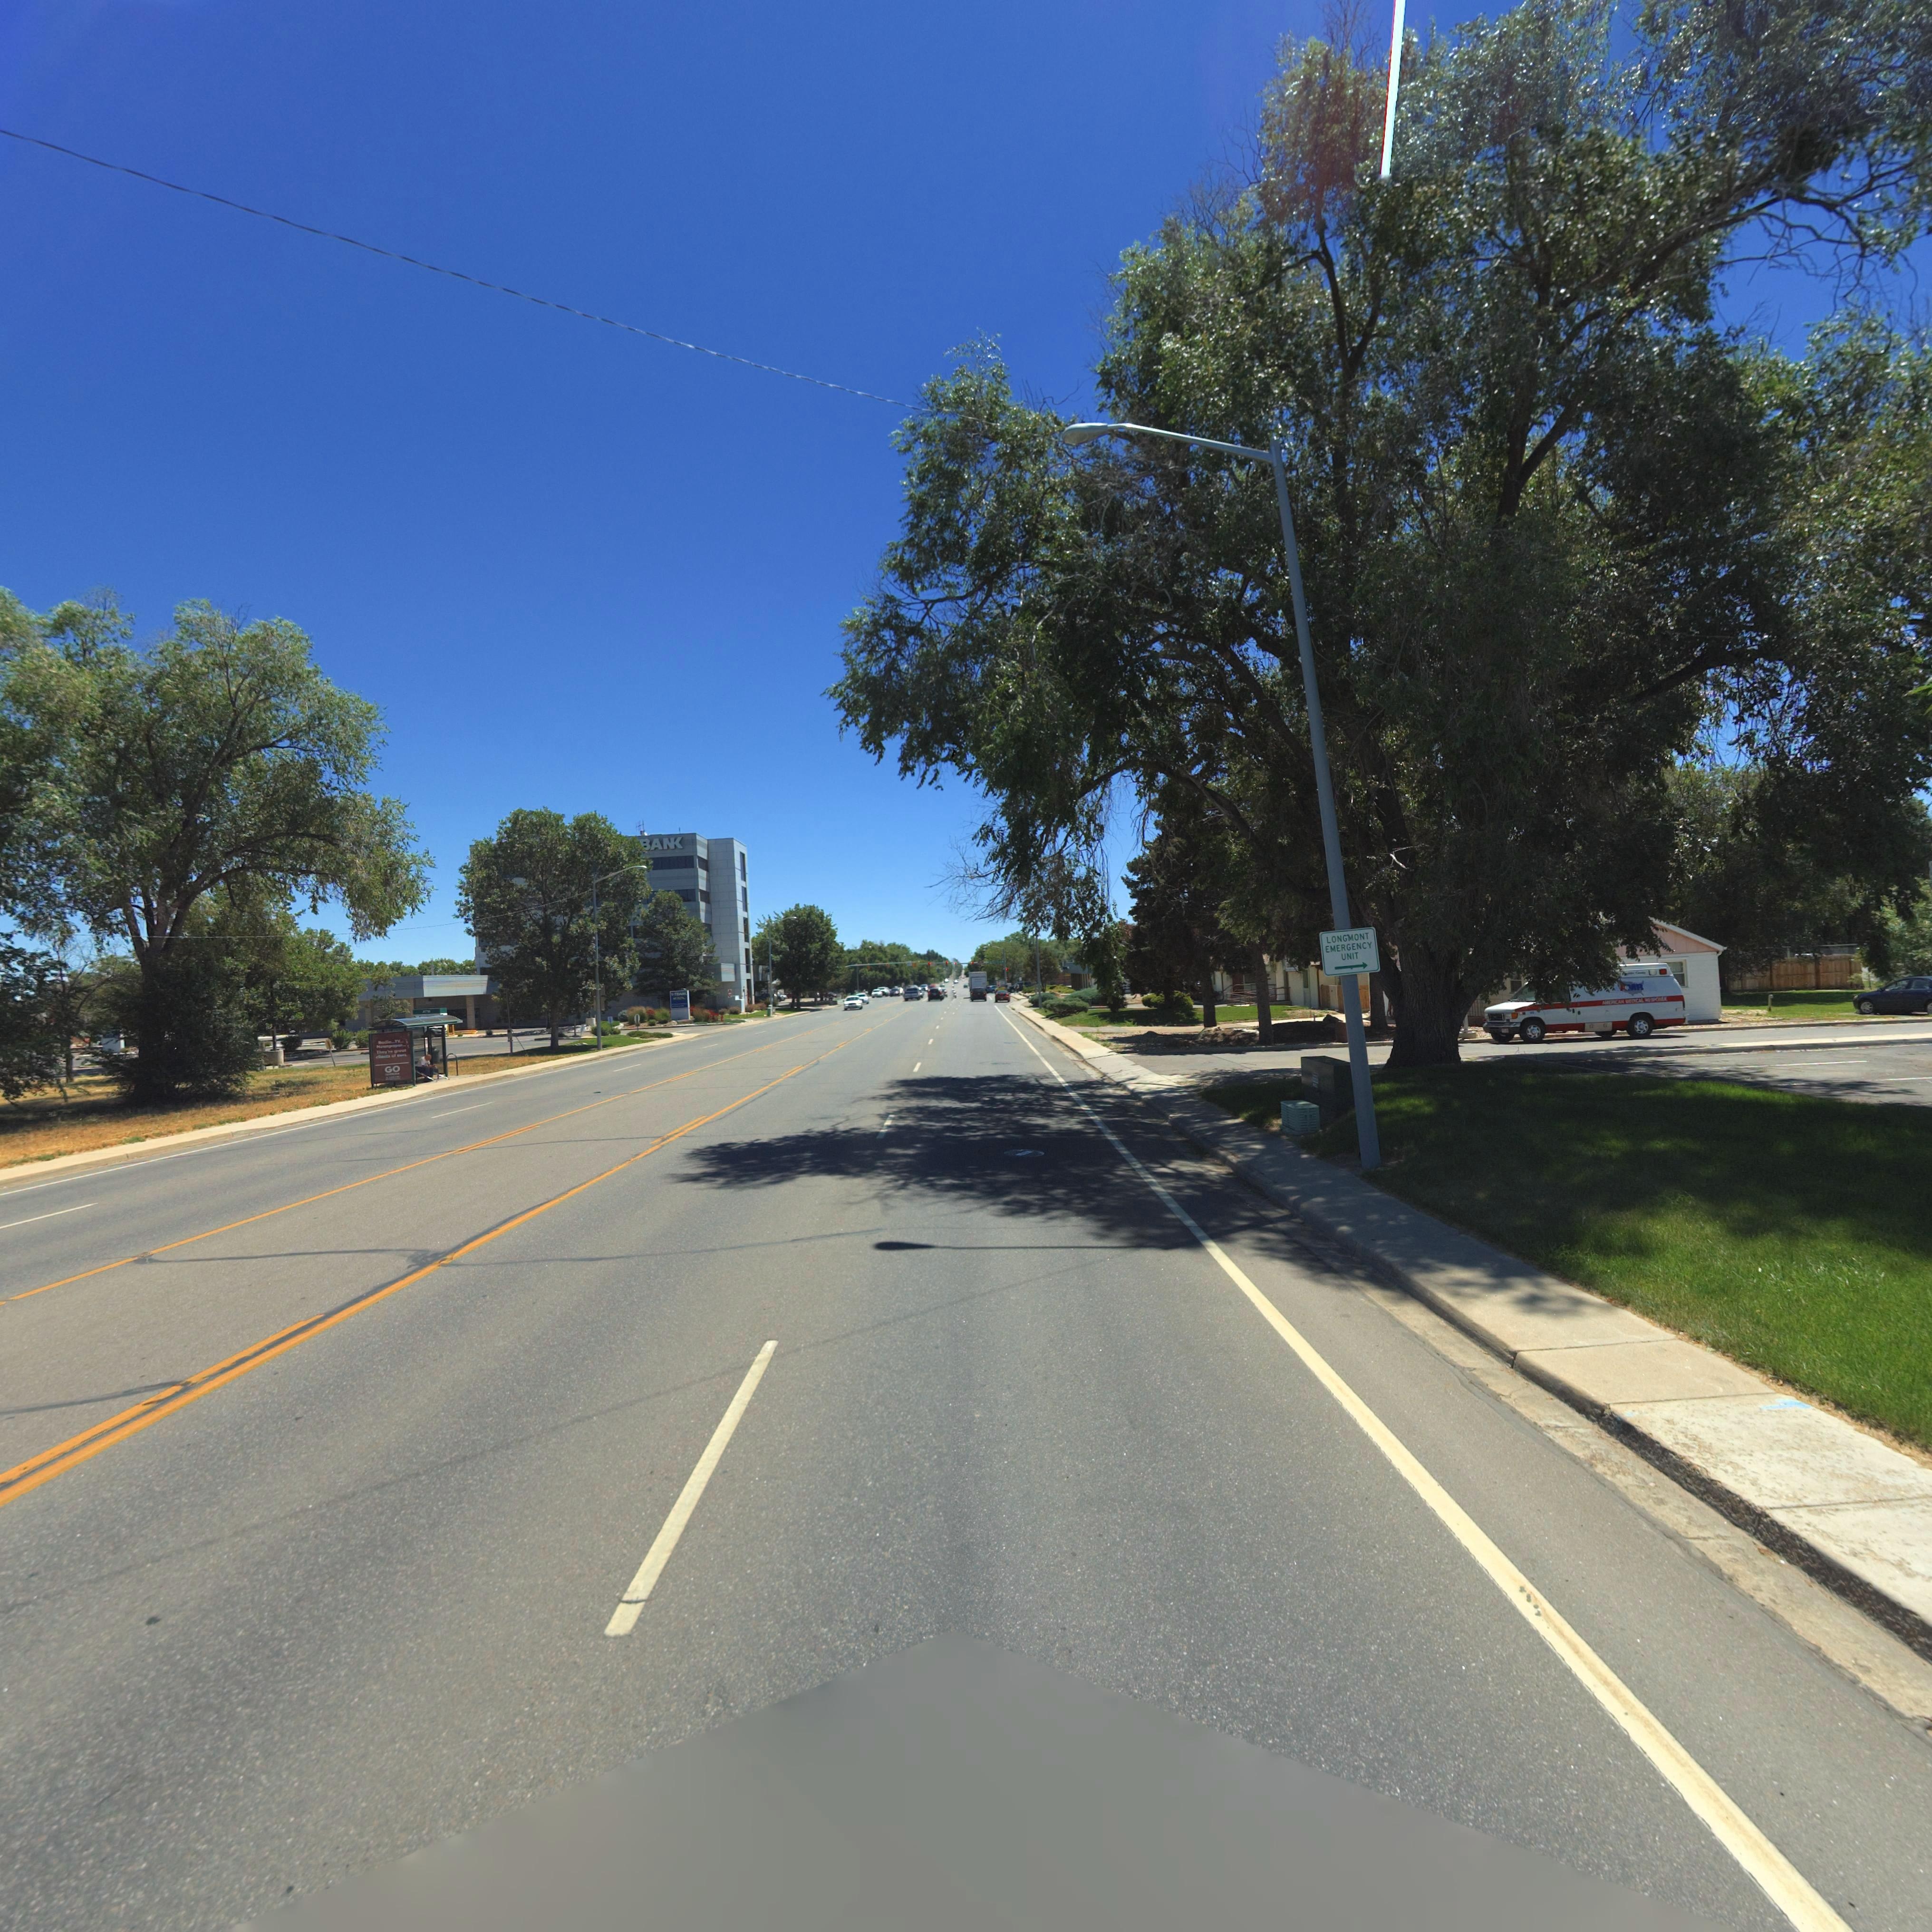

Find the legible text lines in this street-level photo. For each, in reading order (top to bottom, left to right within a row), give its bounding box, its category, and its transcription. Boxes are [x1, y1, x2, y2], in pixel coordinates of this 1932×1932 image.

[638, 836, 684, 851] BusinessName: BANK